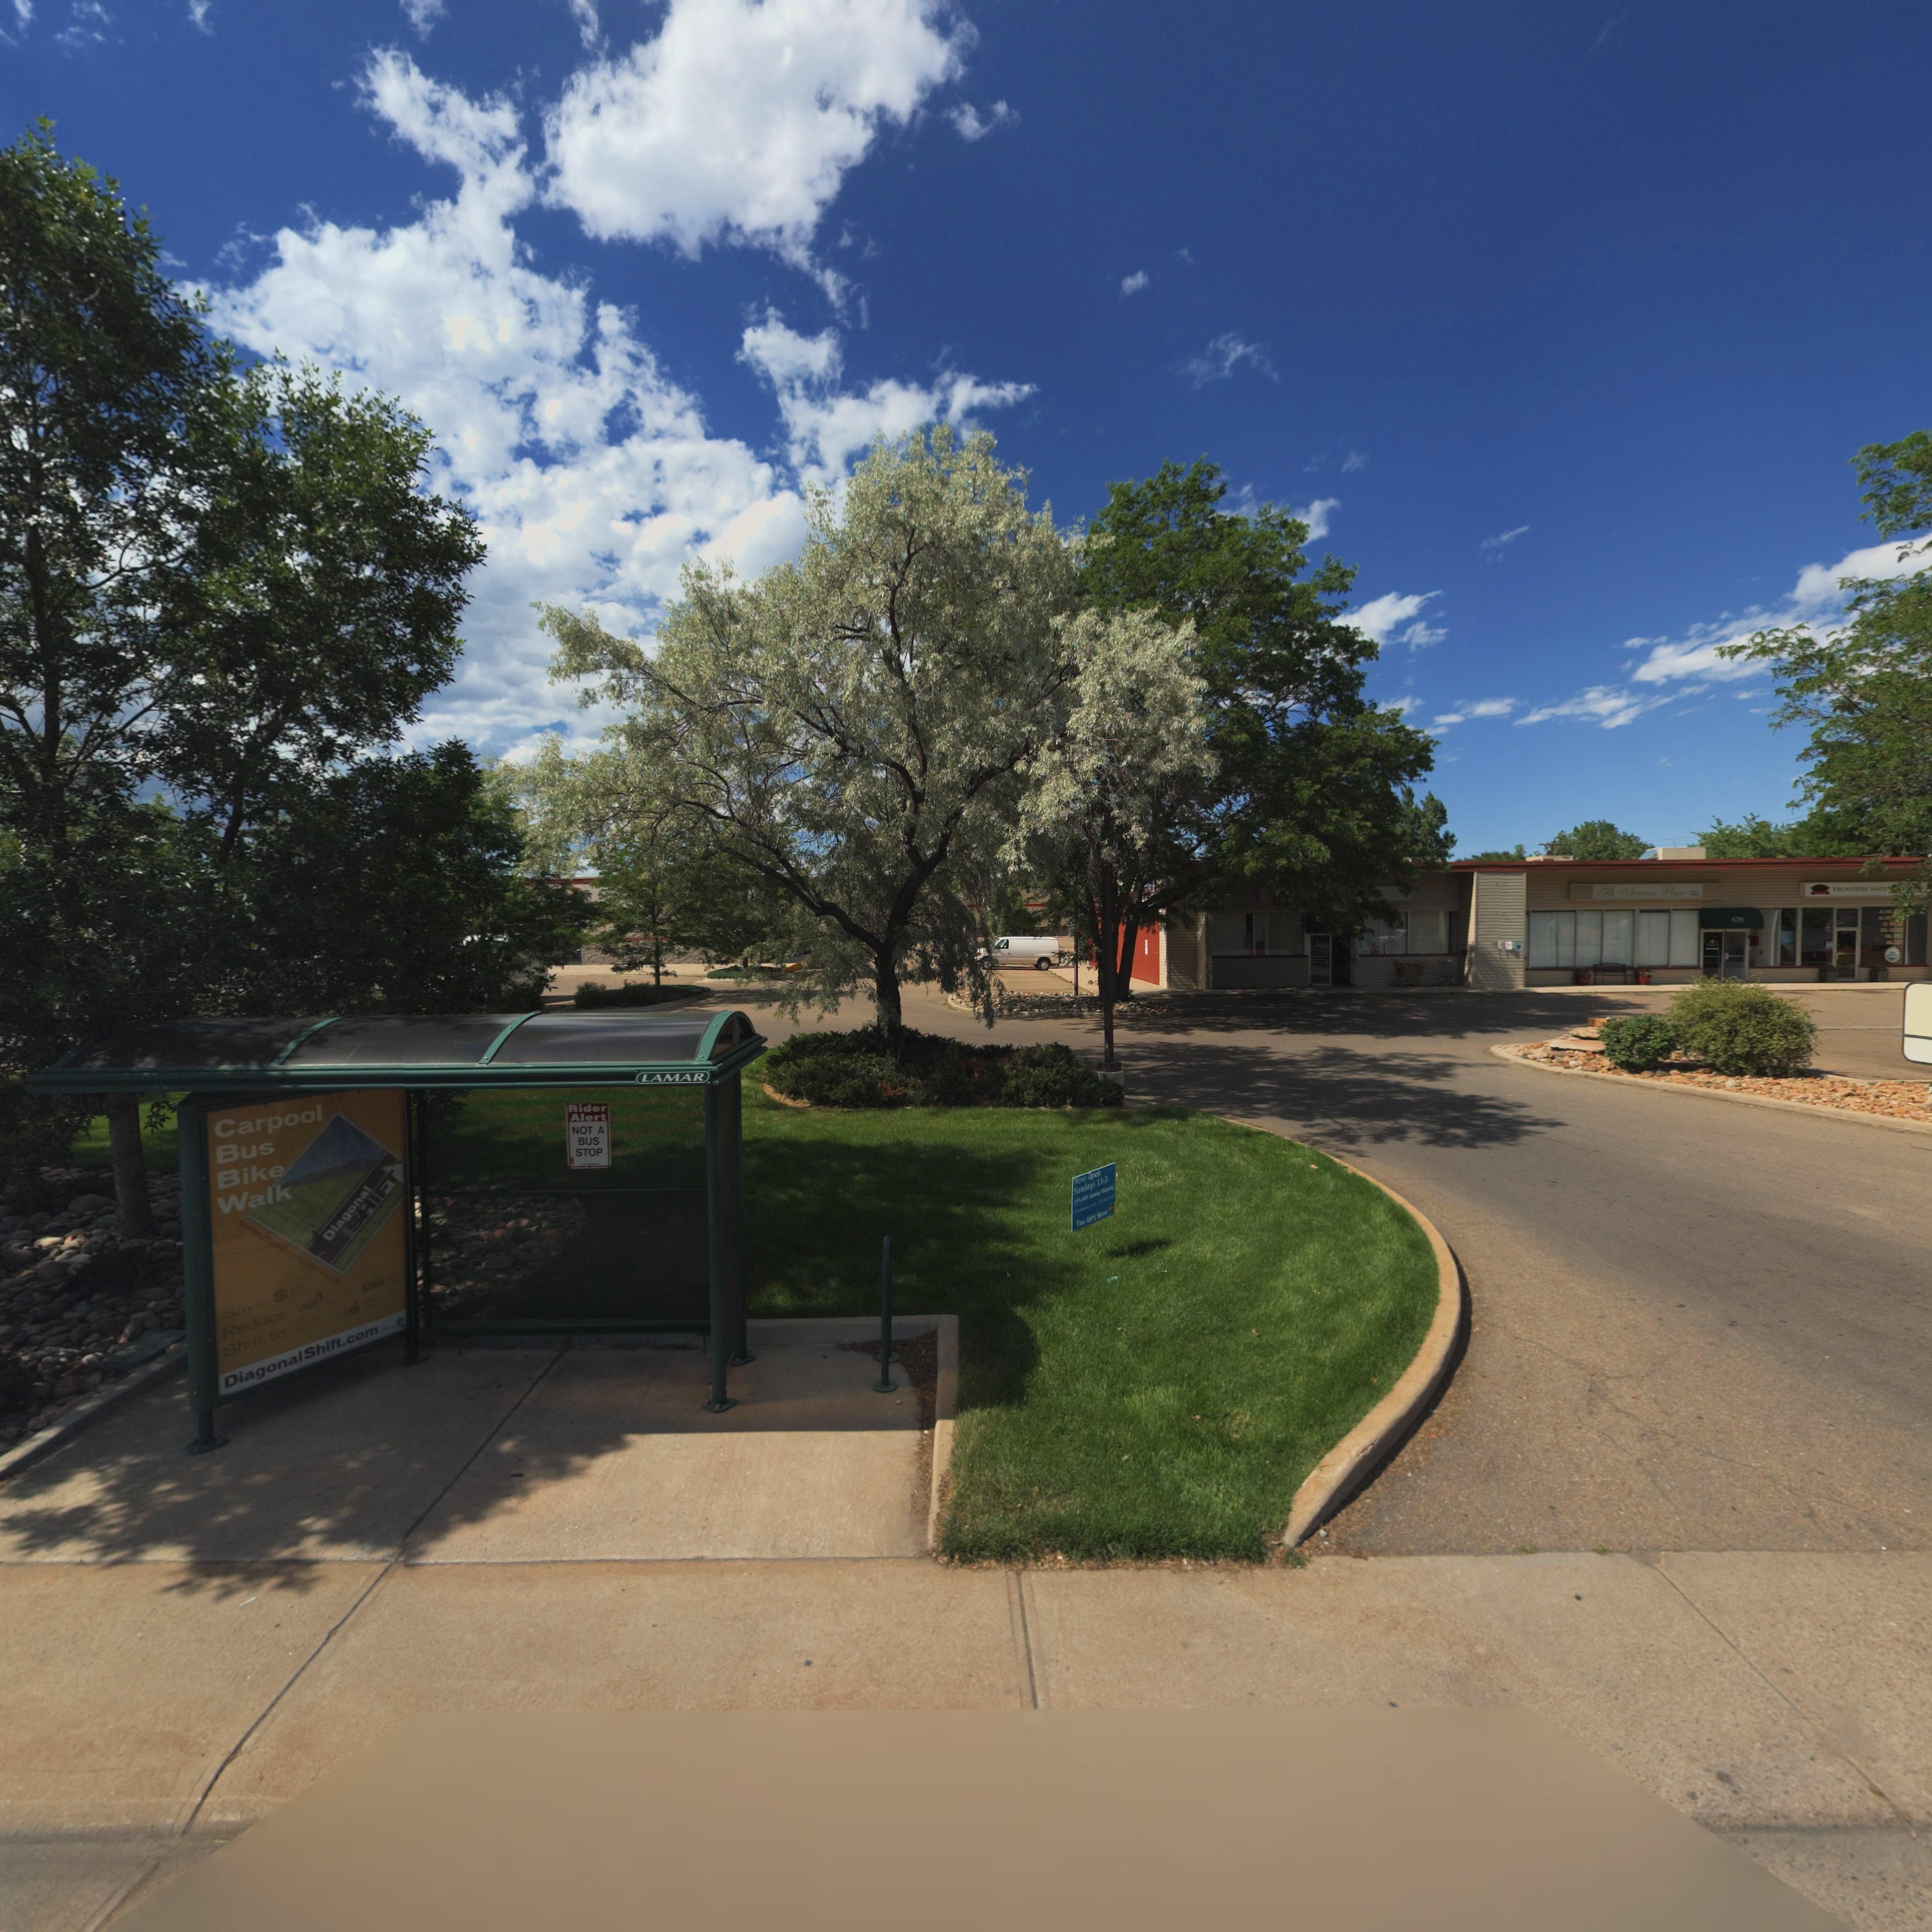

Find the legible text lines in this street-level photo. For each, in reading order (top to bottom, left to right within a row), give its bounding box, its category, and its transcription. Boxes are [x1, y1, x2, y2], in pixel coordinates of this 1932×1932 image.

[1596, 884, 1686, 898] BusinessName: 17th *****e *lace
[1832, 885, 1900, 892] BusinessName: FRONTIERE NATU***
[1730, 916, 1744, 923] StreetNumber: 478
[1839, 915, 1854, 923] StreetNumber: 4*6